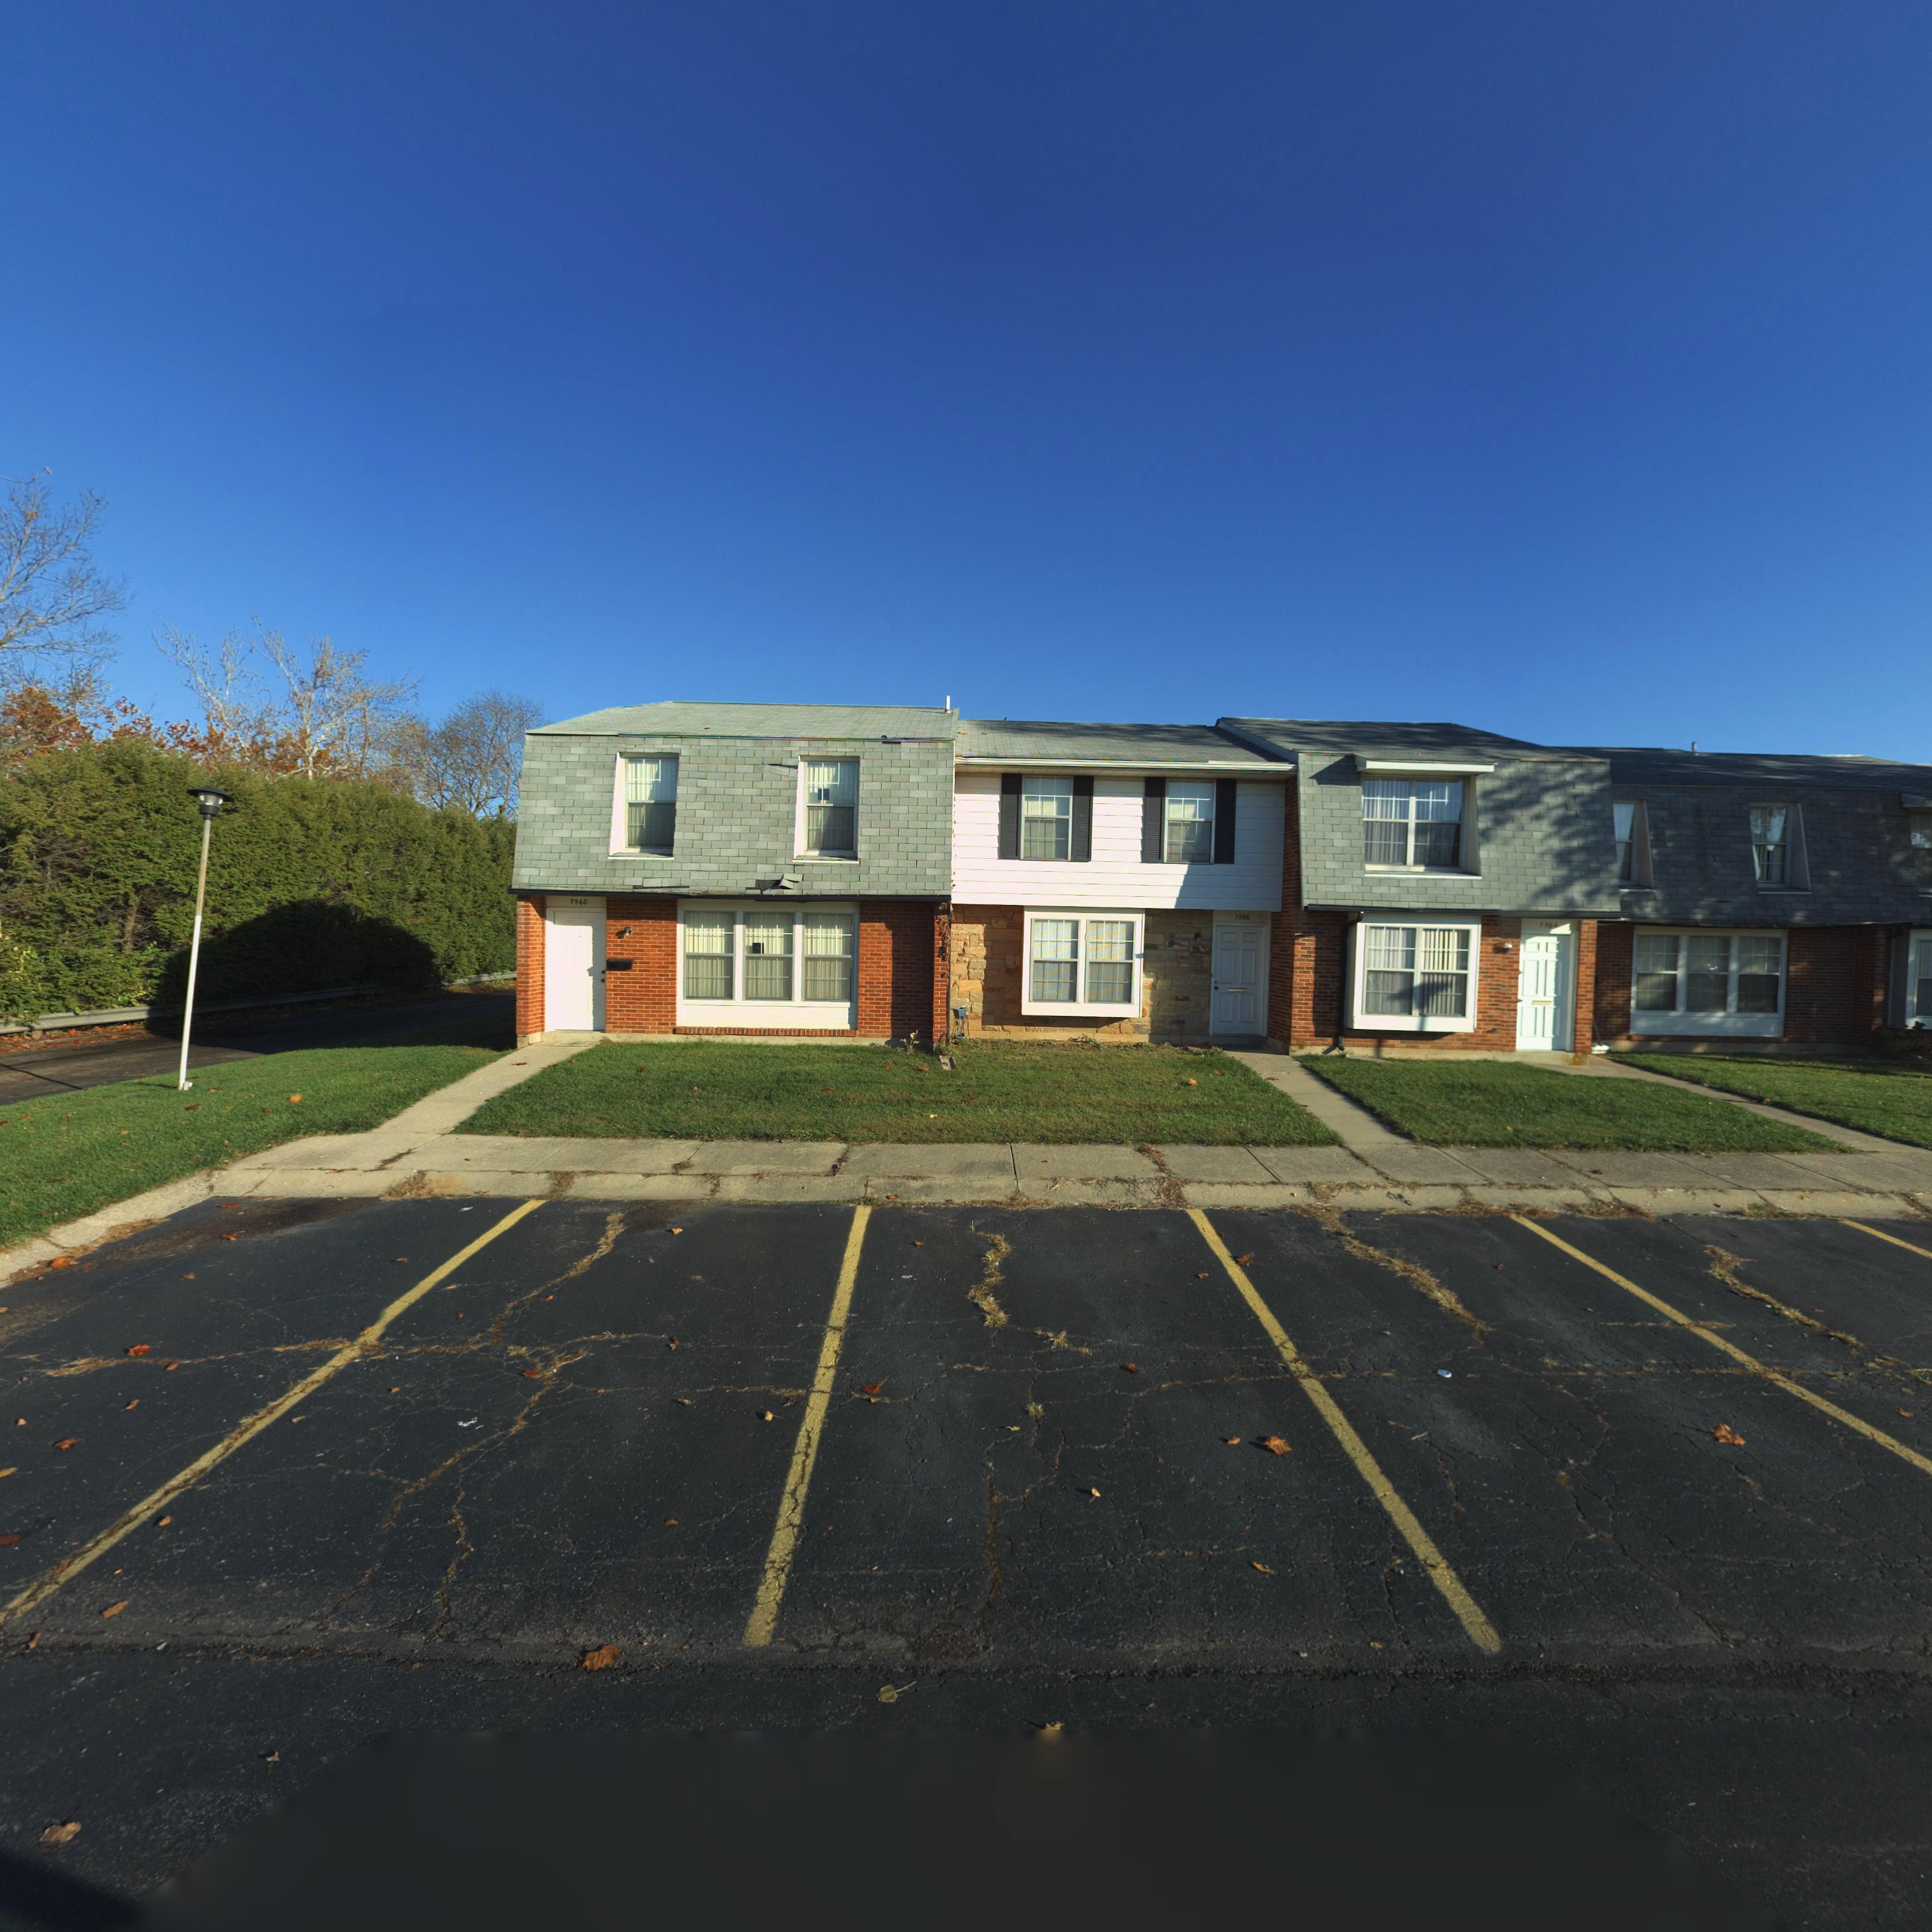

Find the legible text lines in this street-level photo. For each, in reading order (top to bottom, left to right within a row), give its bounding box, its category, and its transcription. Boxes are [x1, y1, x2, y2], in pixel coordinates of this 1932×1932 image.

[569, 898, 589, 906] StreetNumber: 7568
[1234, 913, 1251, 921] StreetNumber: 7566
[1538, 921, 1559, 929] StreetNumber: 756*